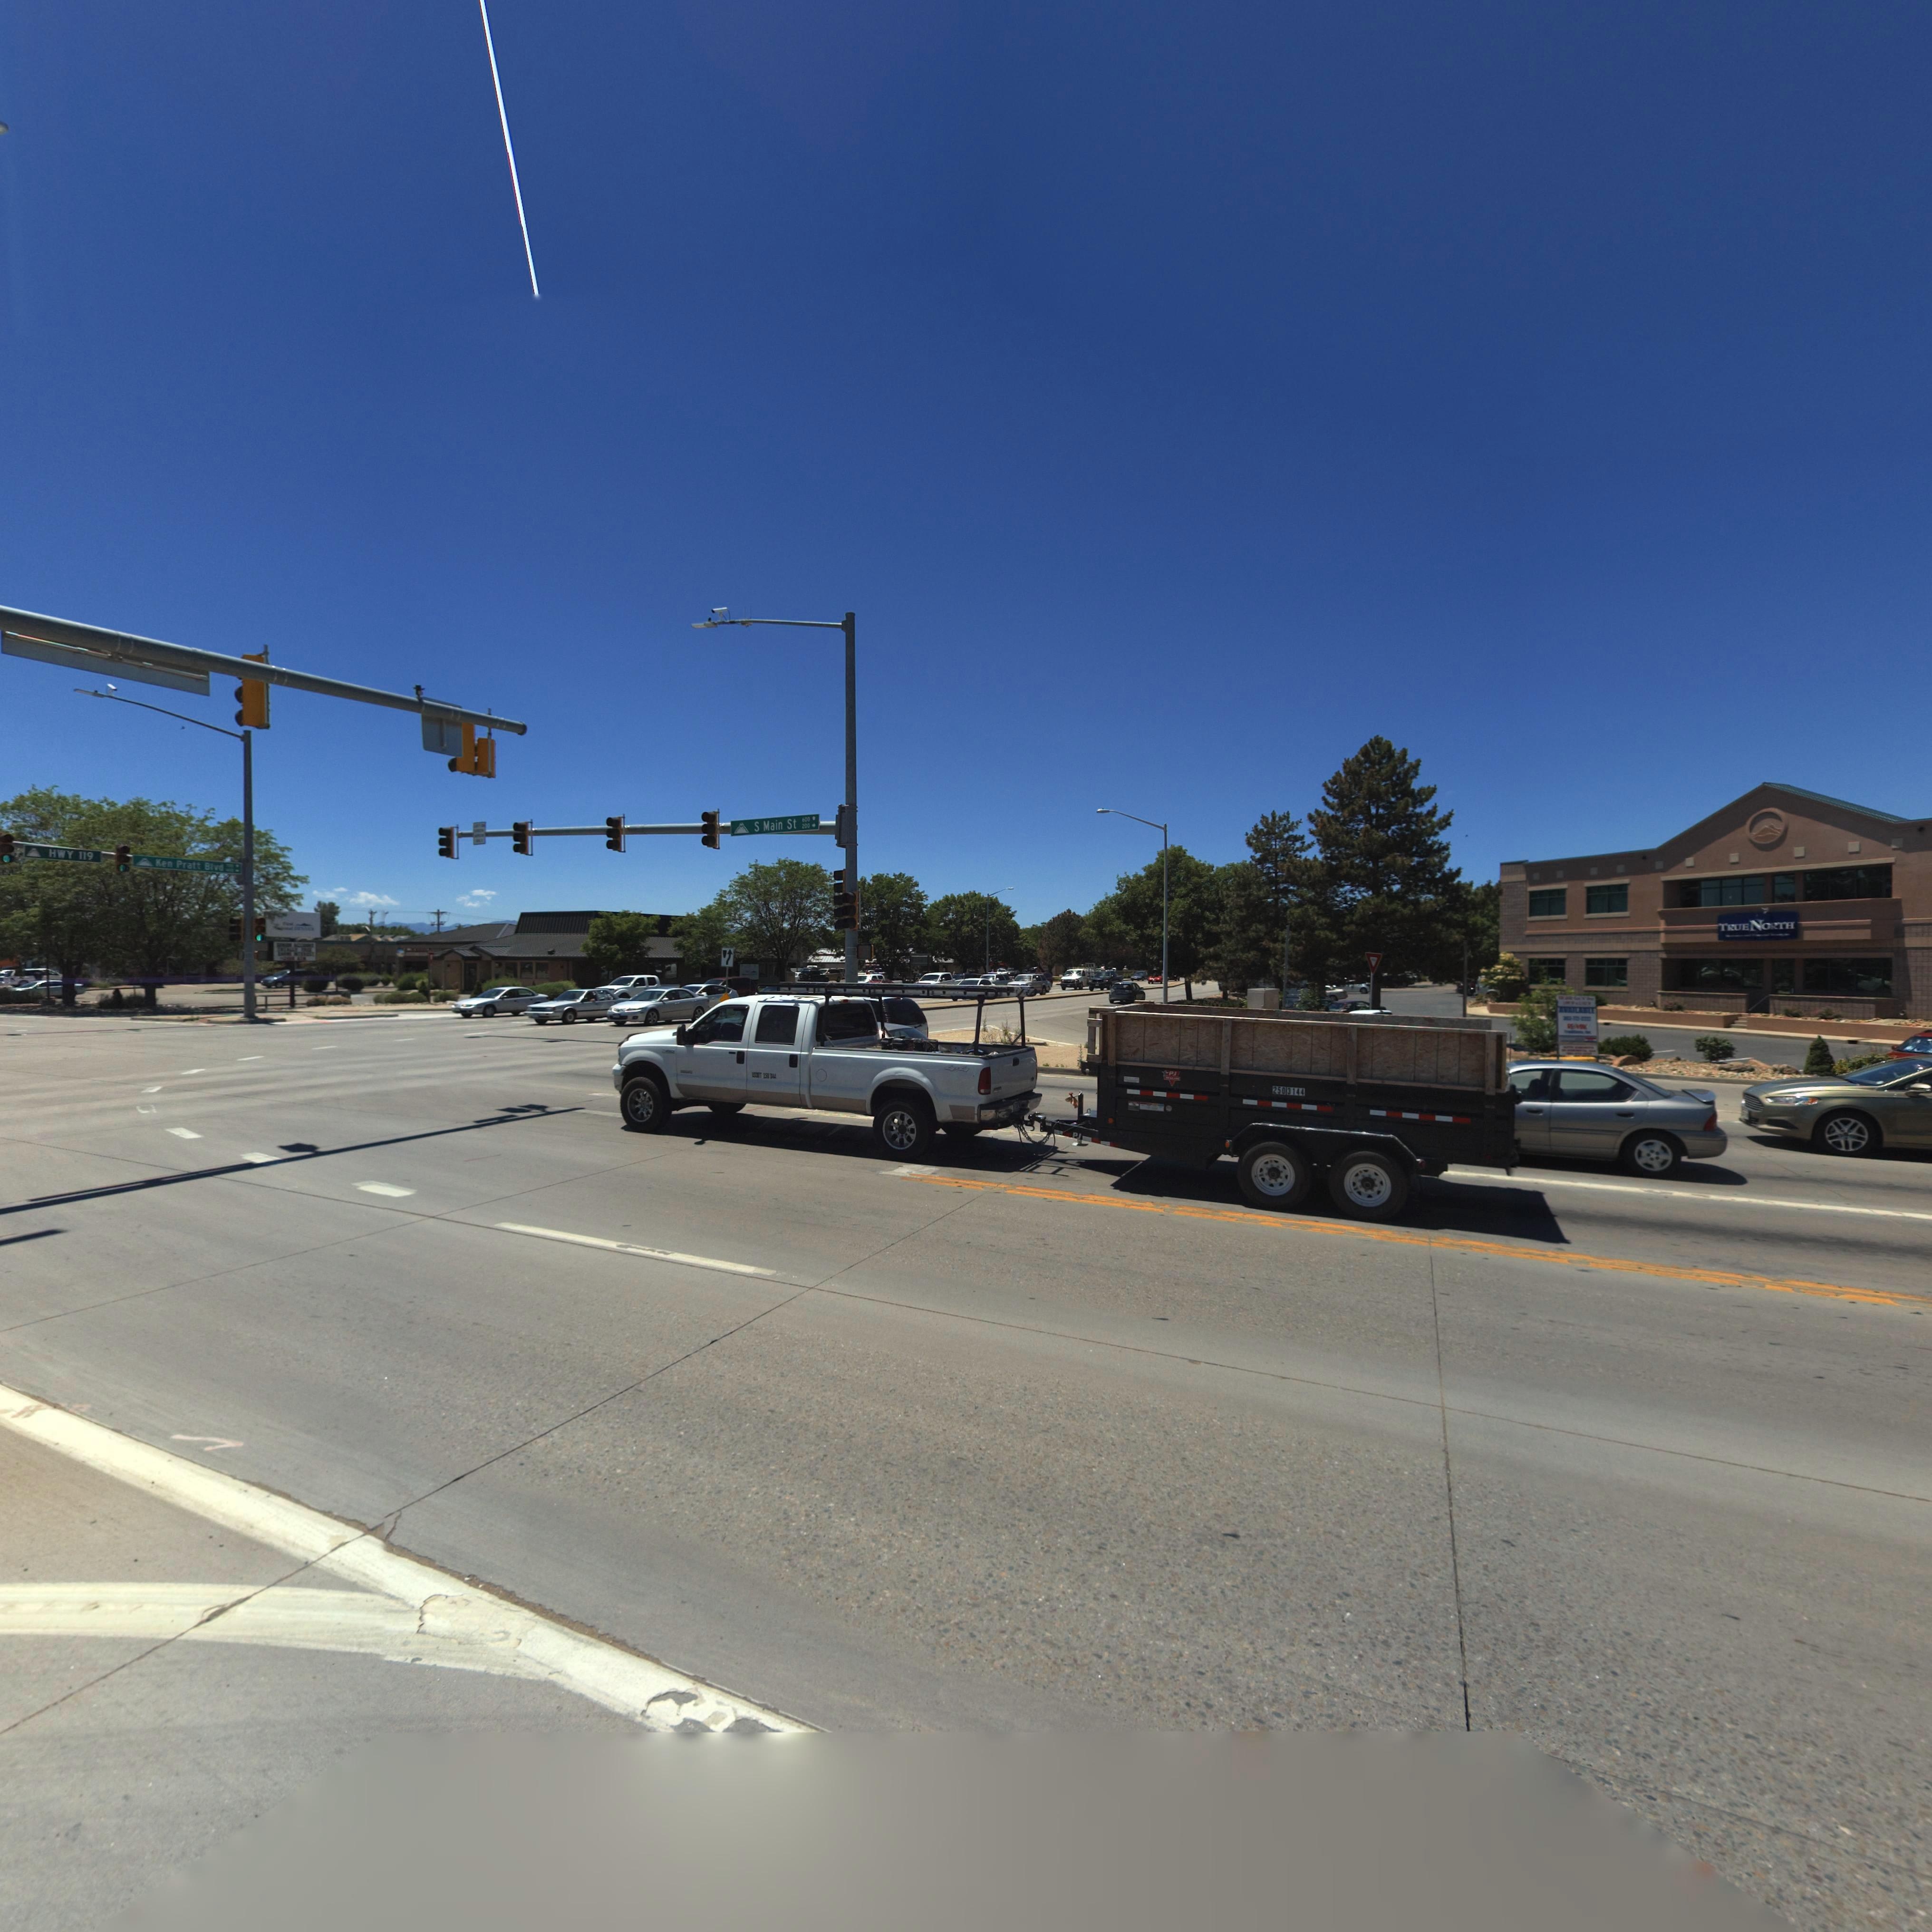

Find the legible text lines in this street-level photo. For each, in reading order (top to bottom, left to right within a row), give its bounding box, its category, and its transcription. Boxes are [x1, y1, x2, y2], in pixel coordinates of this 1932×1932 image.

[802, 816, 811, 822] StreetNumberRange: 600
[753, 817, 798, 832] StreetName: S Main St
[802, 822, 816, 829] StreetNumberRange: 200 ->
[48, 848, 95, 861] StreetName: HWY 119
[155, 857, 224, 871] StreetName: Ken Pratt Blvd
[226, 863, 234, 868] StreetNumberRange: **0
[225, 868, 240, 873] StreetNumberRange: **0 *
[282, 921, 294, 926] BusinessName: ****t
[273, 924, 315, 932] BusinessName: *****l DENVER
[1718, 918, 1795, 932] BusinessName: TRUENORTH